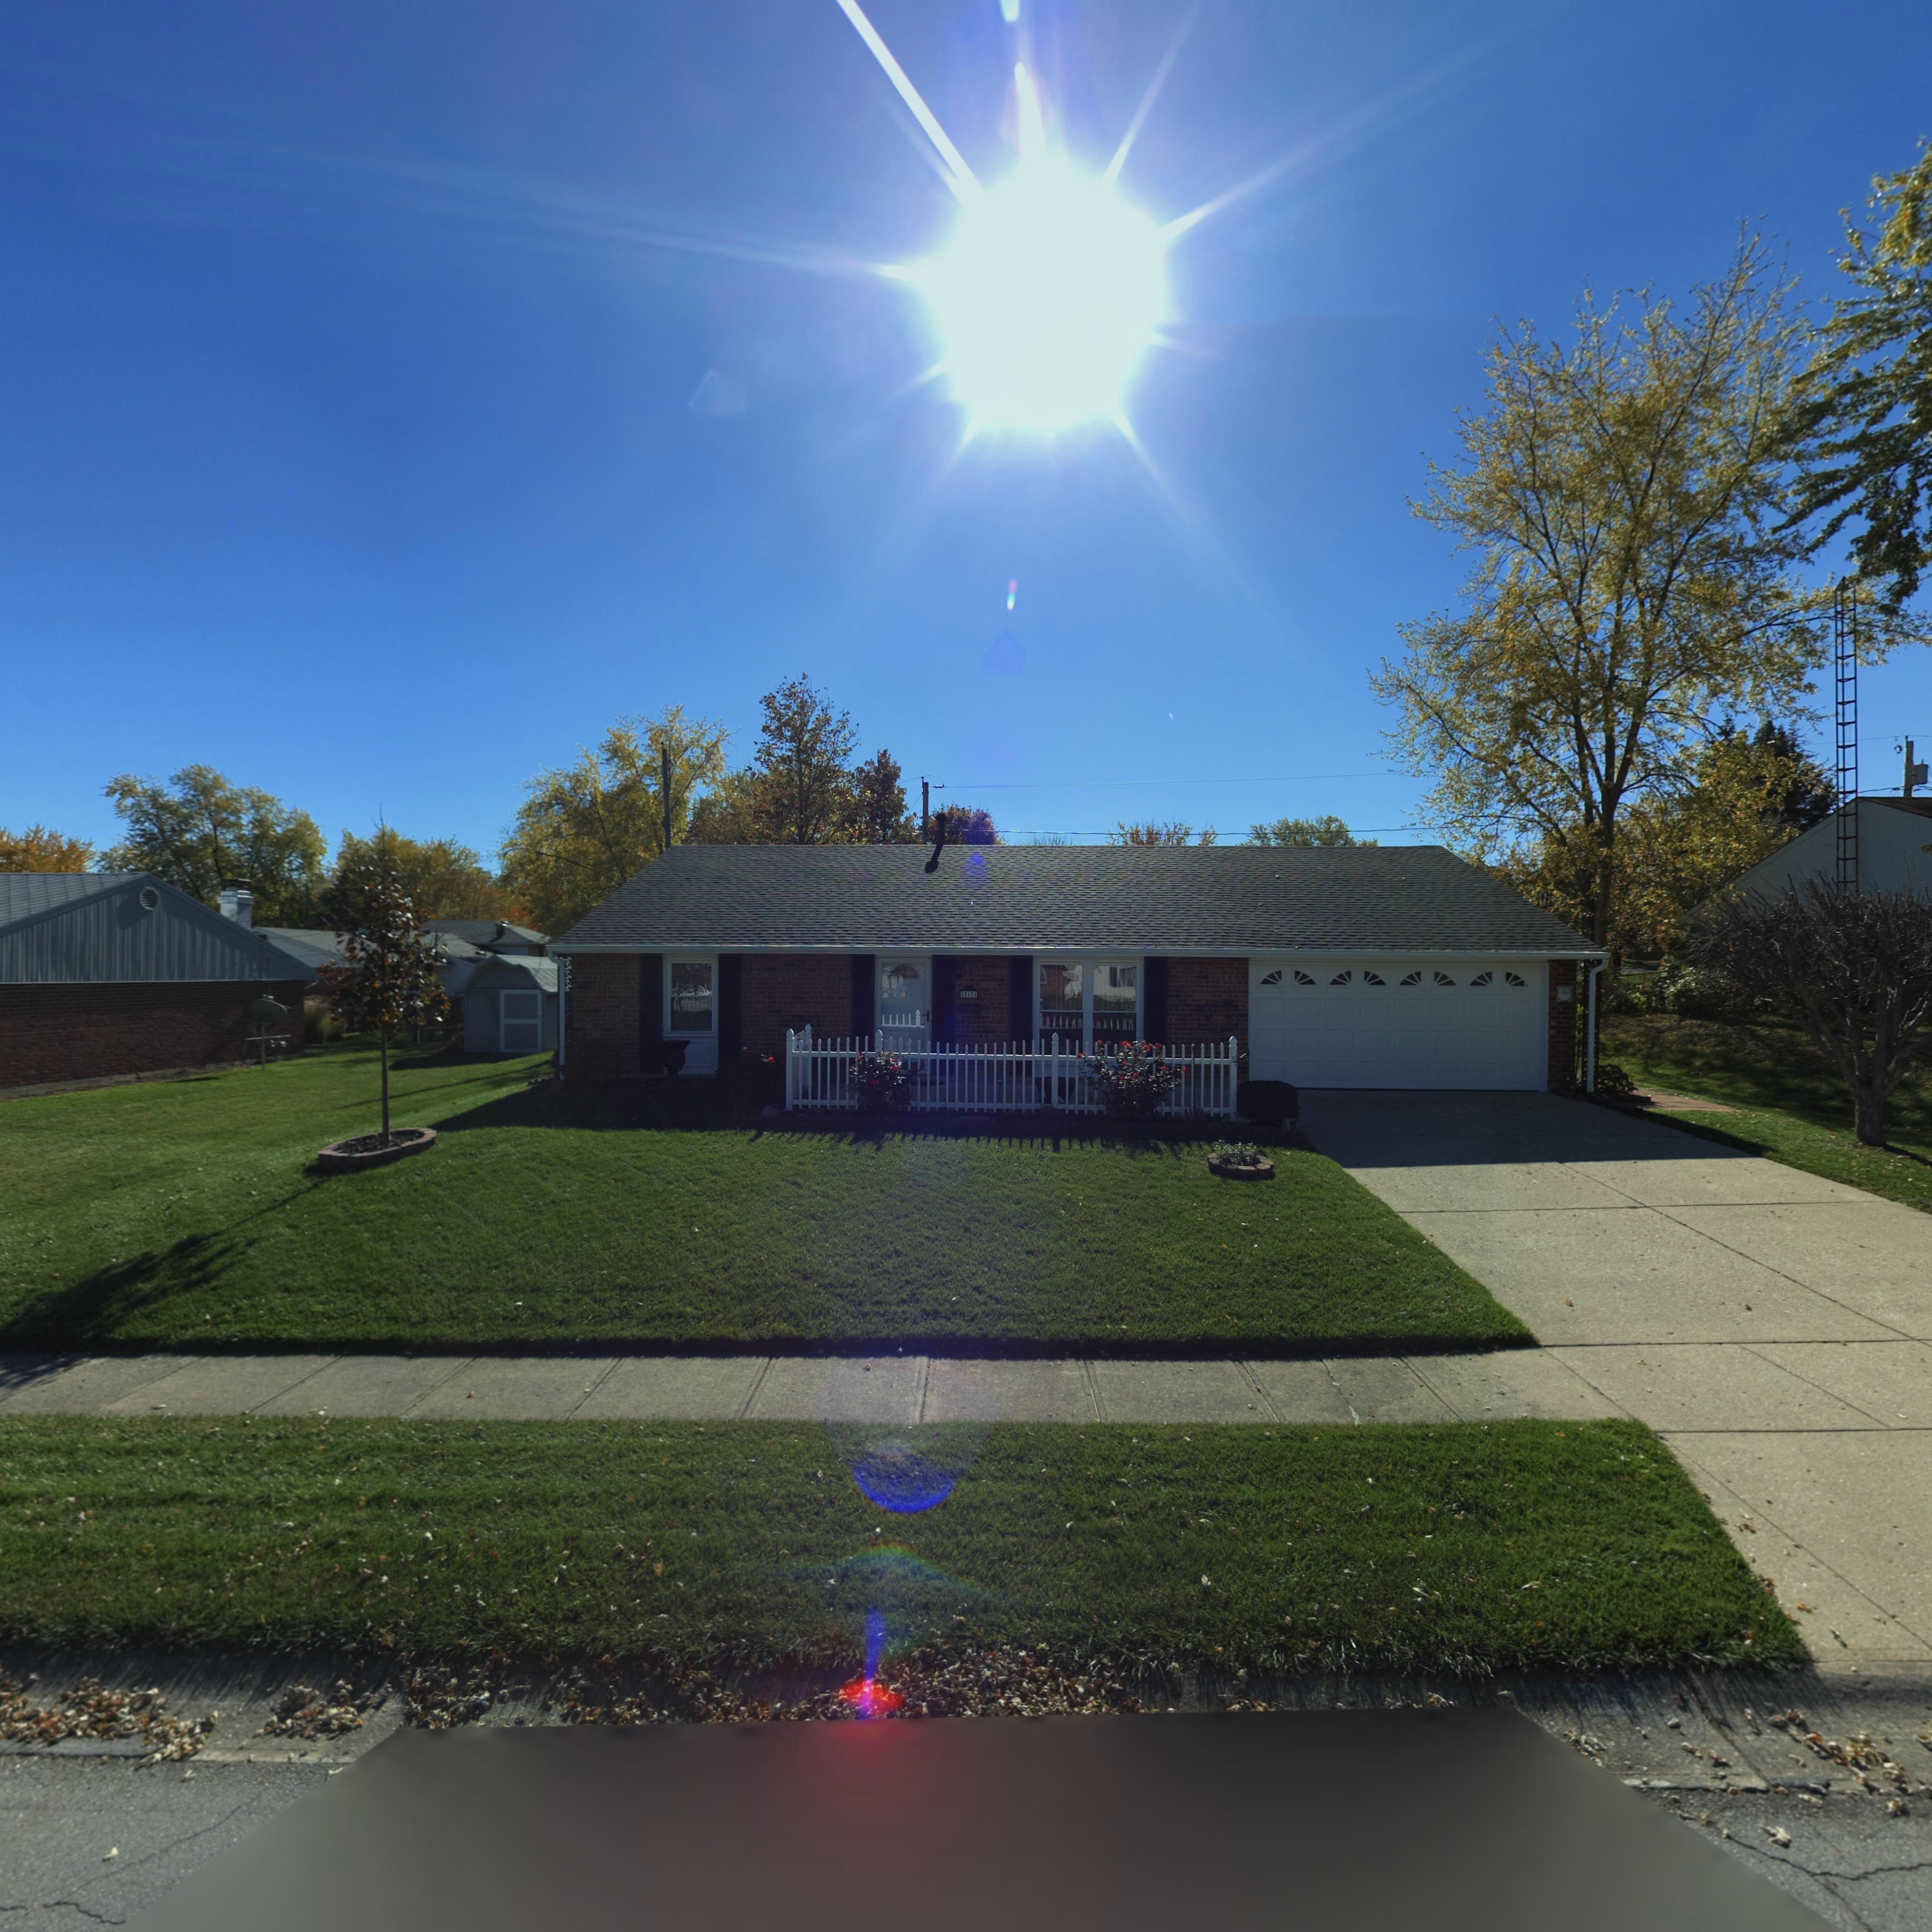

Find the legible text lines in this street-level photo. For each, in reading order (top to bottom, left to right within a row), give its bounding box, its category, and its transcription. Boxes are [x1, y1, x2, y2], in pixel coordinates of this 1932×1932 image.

[964, 992, 973, 997] StreetNumber: 813